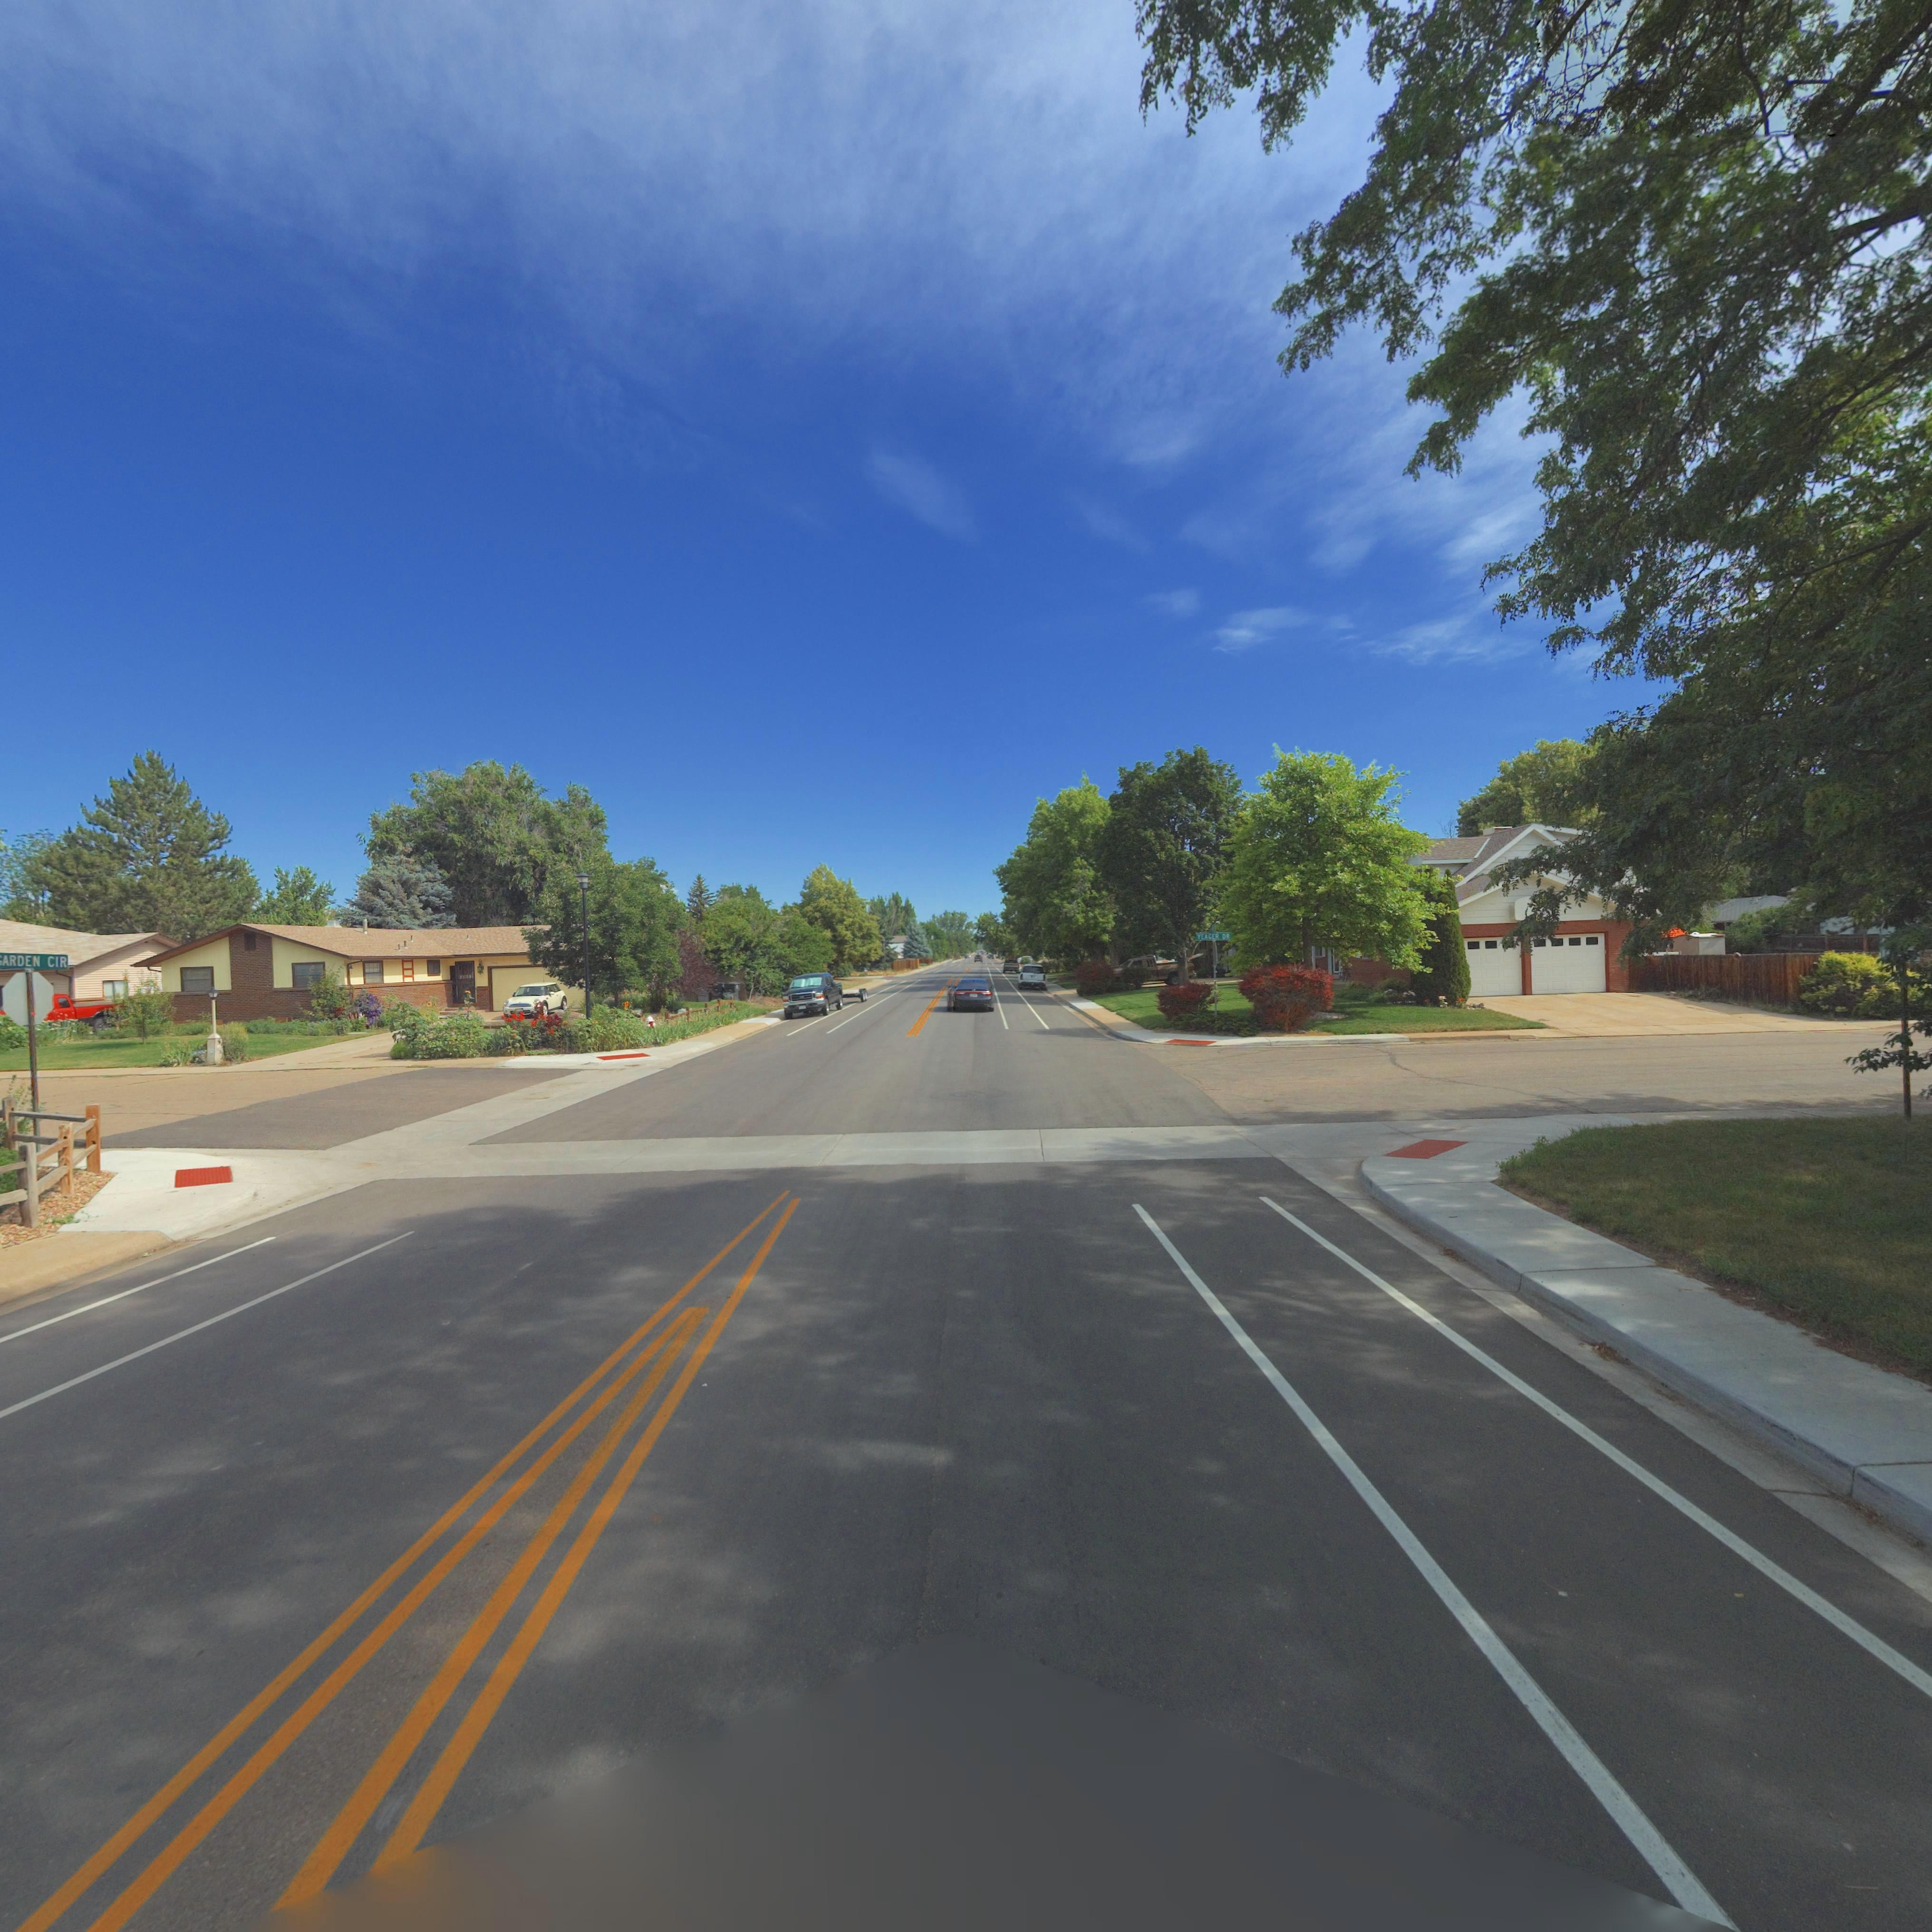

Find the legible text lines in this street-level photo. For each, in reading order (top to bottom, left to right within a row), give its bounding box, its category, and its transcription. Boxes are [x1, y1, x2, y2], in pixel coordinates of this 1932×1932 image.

[1197, 933, 1230, 939] StreetName: YEAGER DR
[1, 954, 67, 968] StreetName: ARDEN CIR